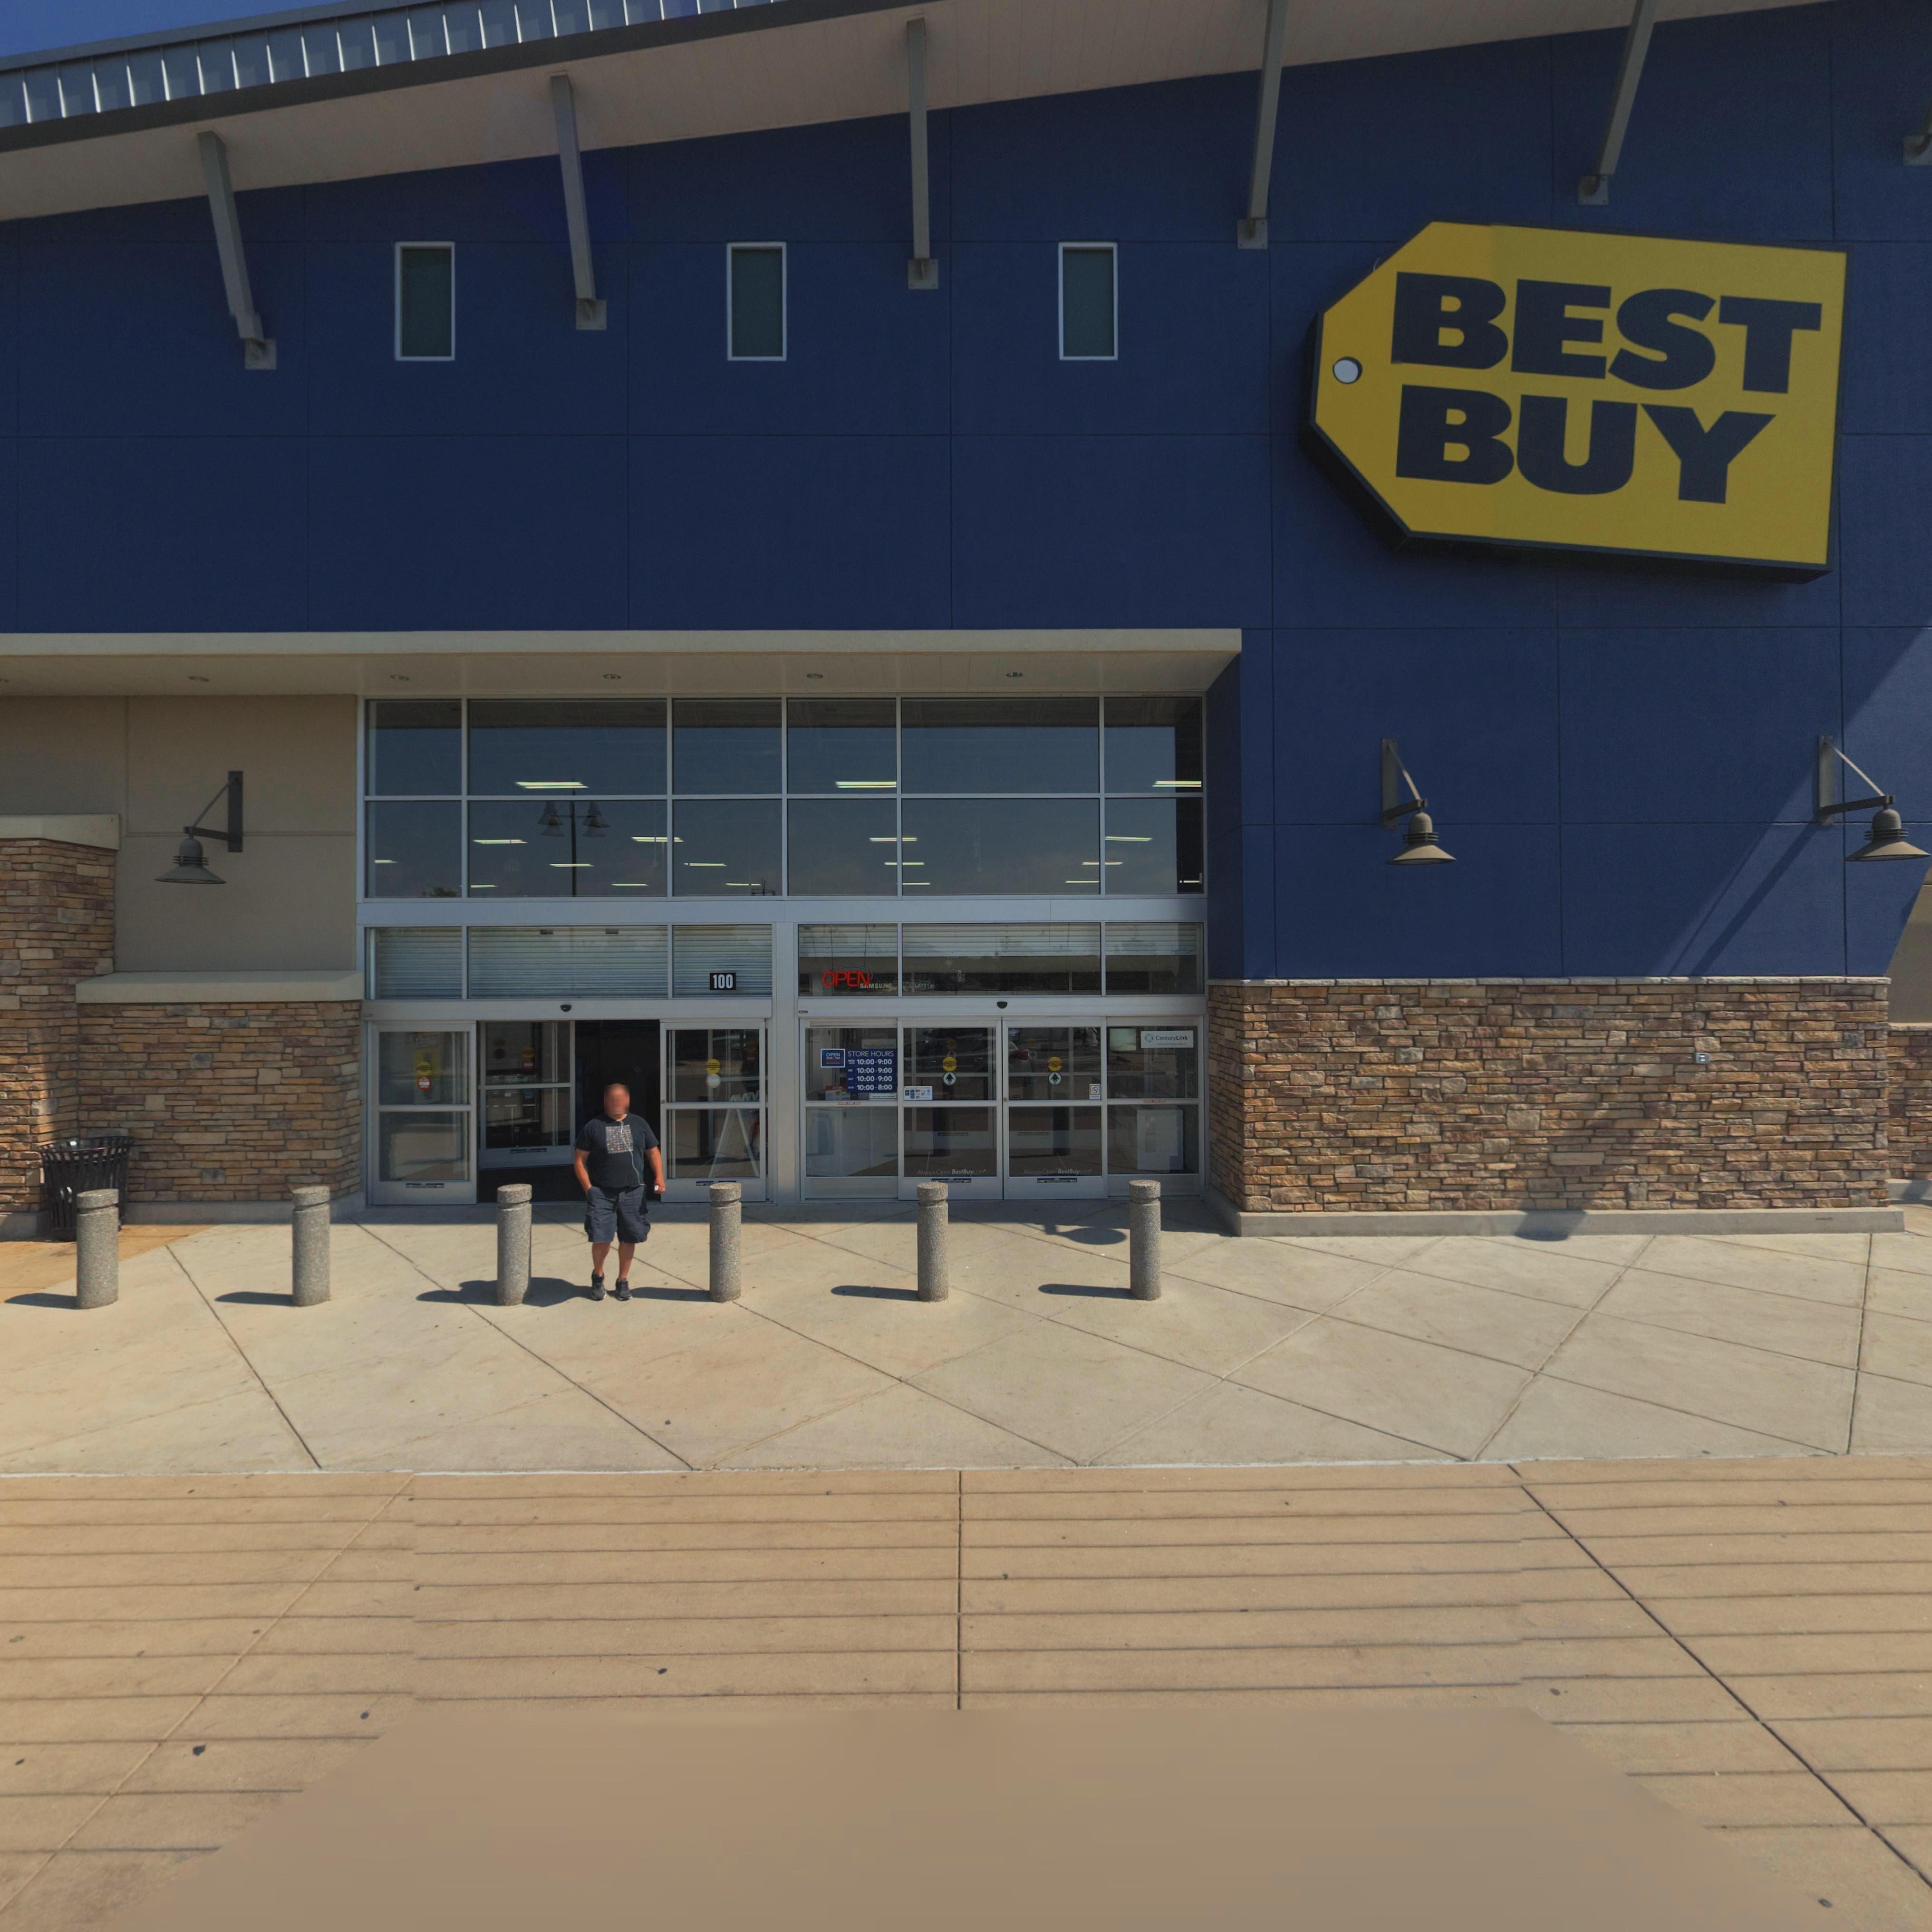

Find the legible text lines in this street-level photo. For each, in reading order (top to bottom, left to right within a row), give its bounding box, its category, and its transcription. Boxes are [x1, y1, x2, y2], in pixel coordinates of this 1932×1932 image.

[1387, 269, 1824, 397] BusinessName: BEST
[1393, 382, 1779, 507] BusinessName: BUY
[712, 974, 733, 989] StreetNumber: 100